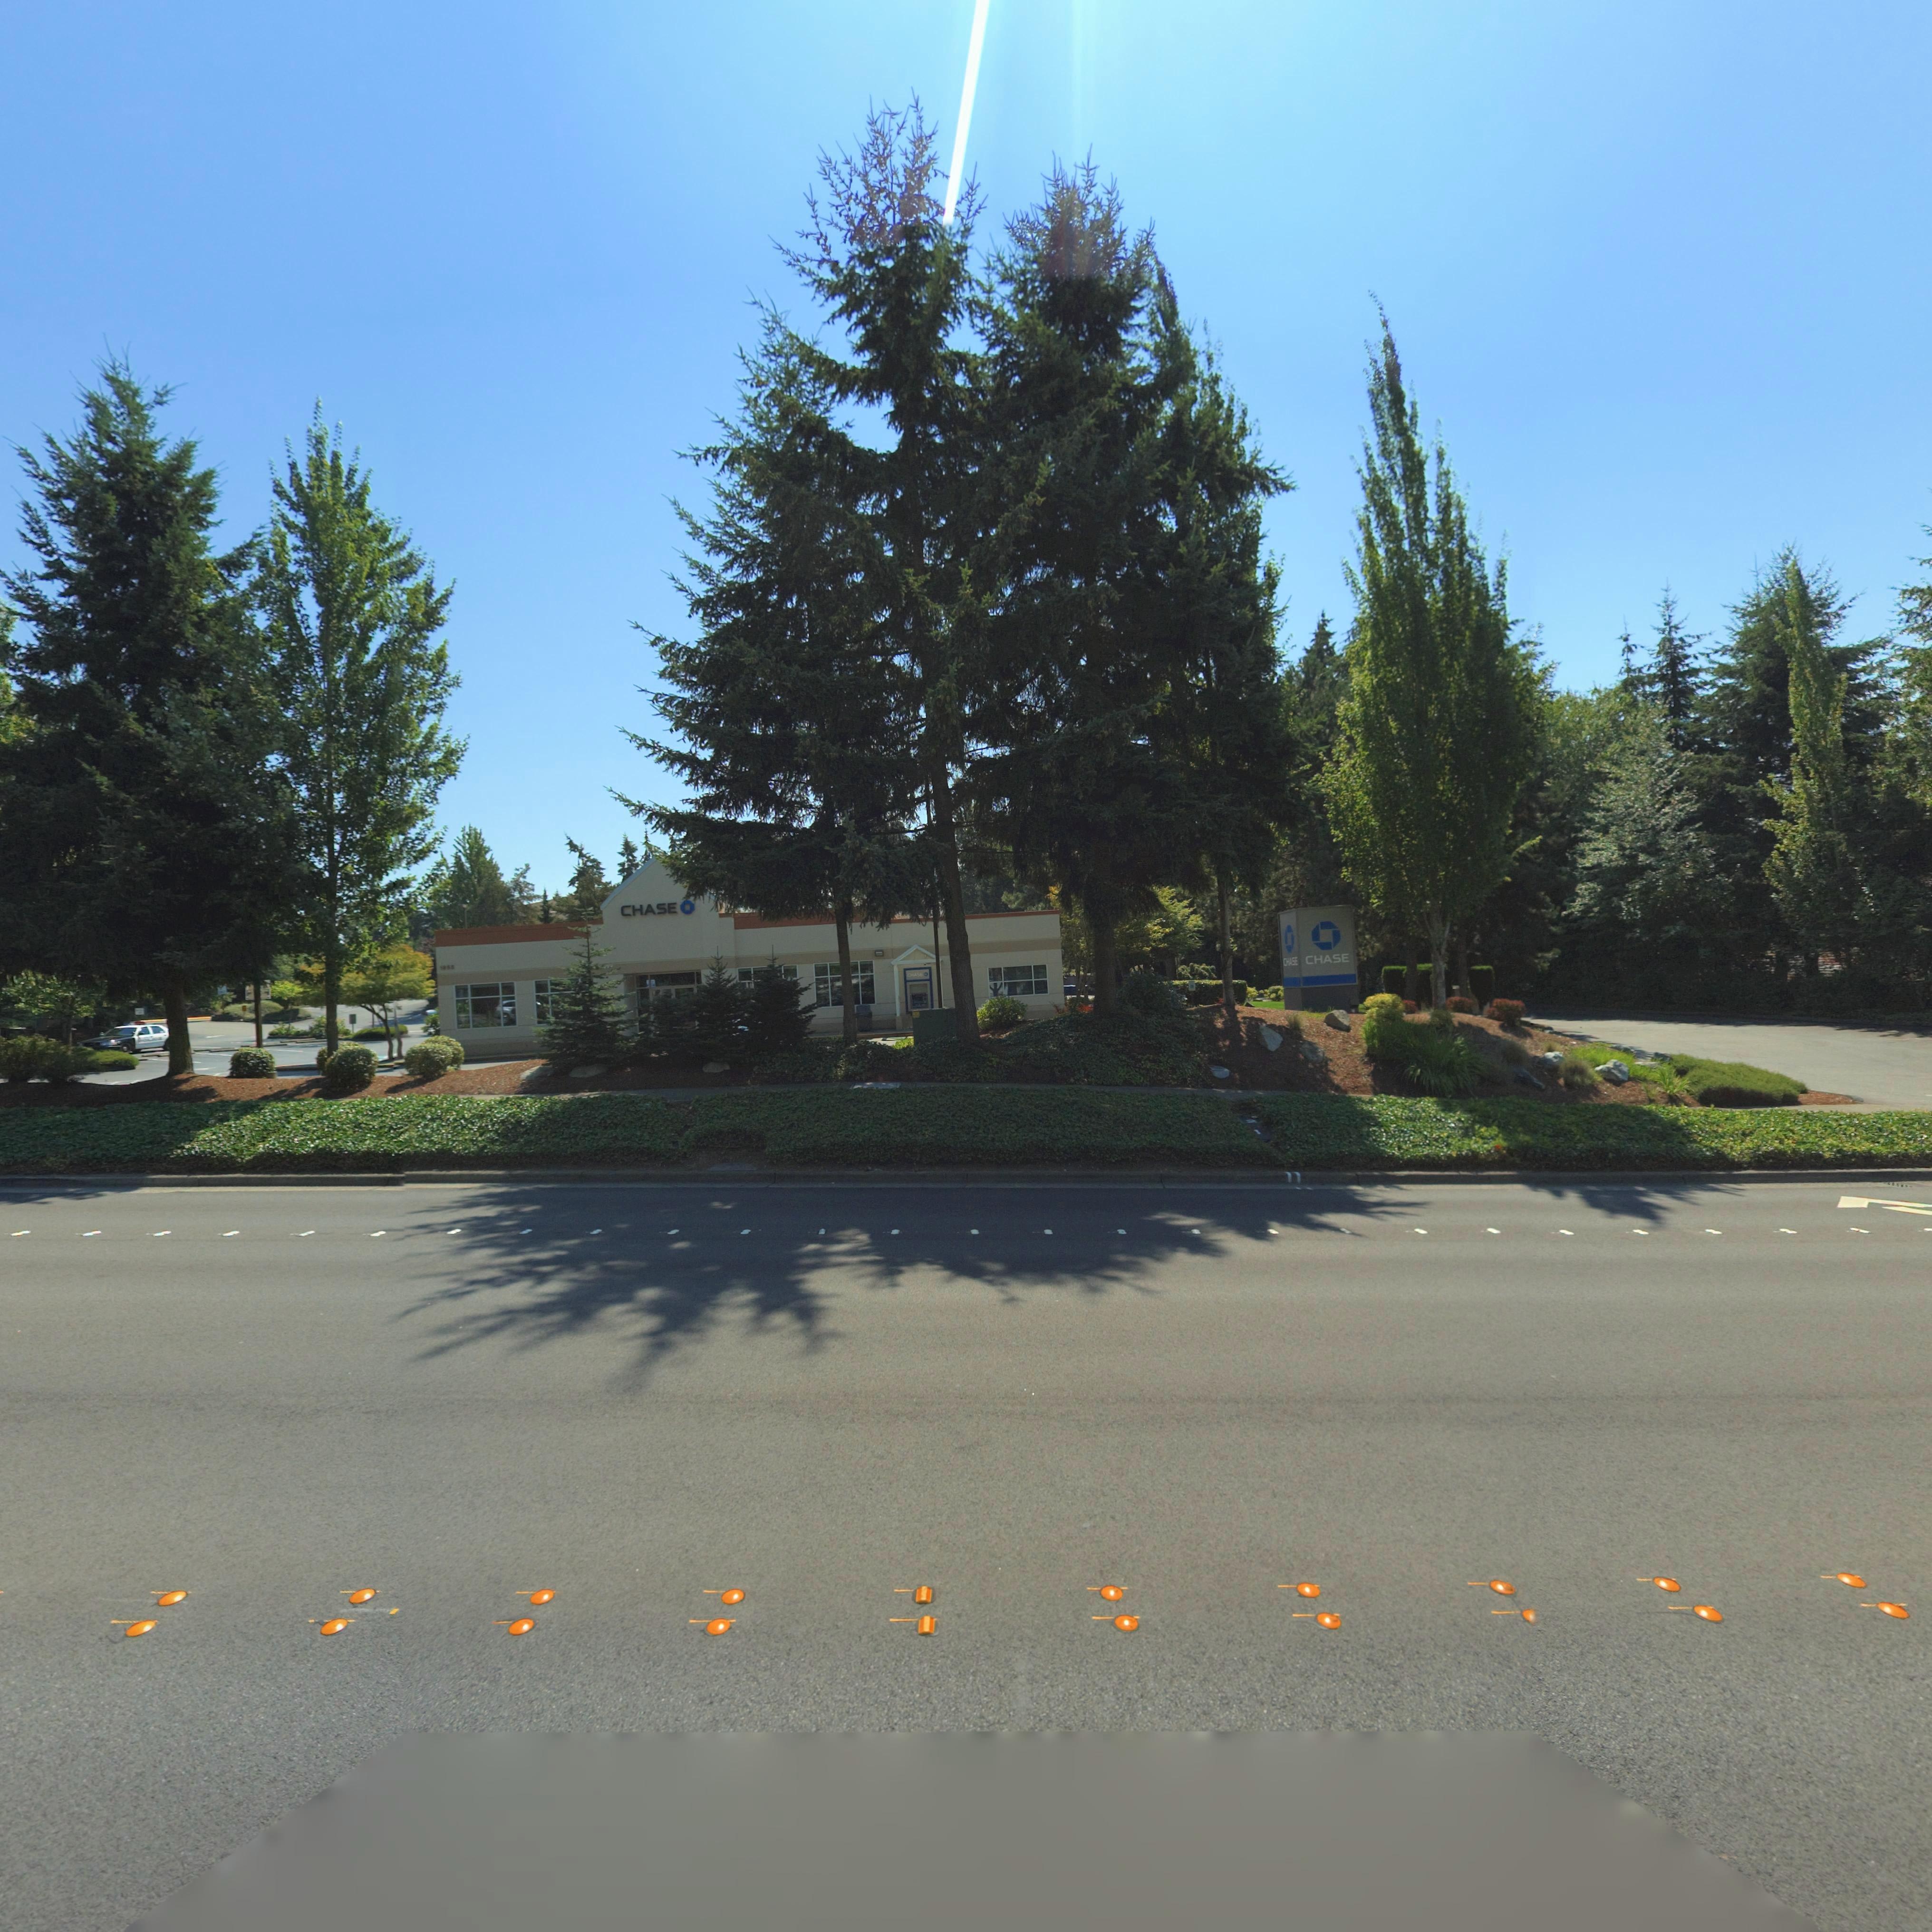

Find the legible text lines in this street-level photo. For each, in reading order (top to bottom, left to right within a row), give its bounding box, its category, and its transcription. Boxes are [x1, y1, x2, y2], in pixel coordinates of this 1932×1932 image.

[621, 902, 676, 916] BusinessName: CHASE
[1282, 955, 1299, 967] BusinessName: CHASE
[1304, 951, 1352, 966] BusinessName: CHASE